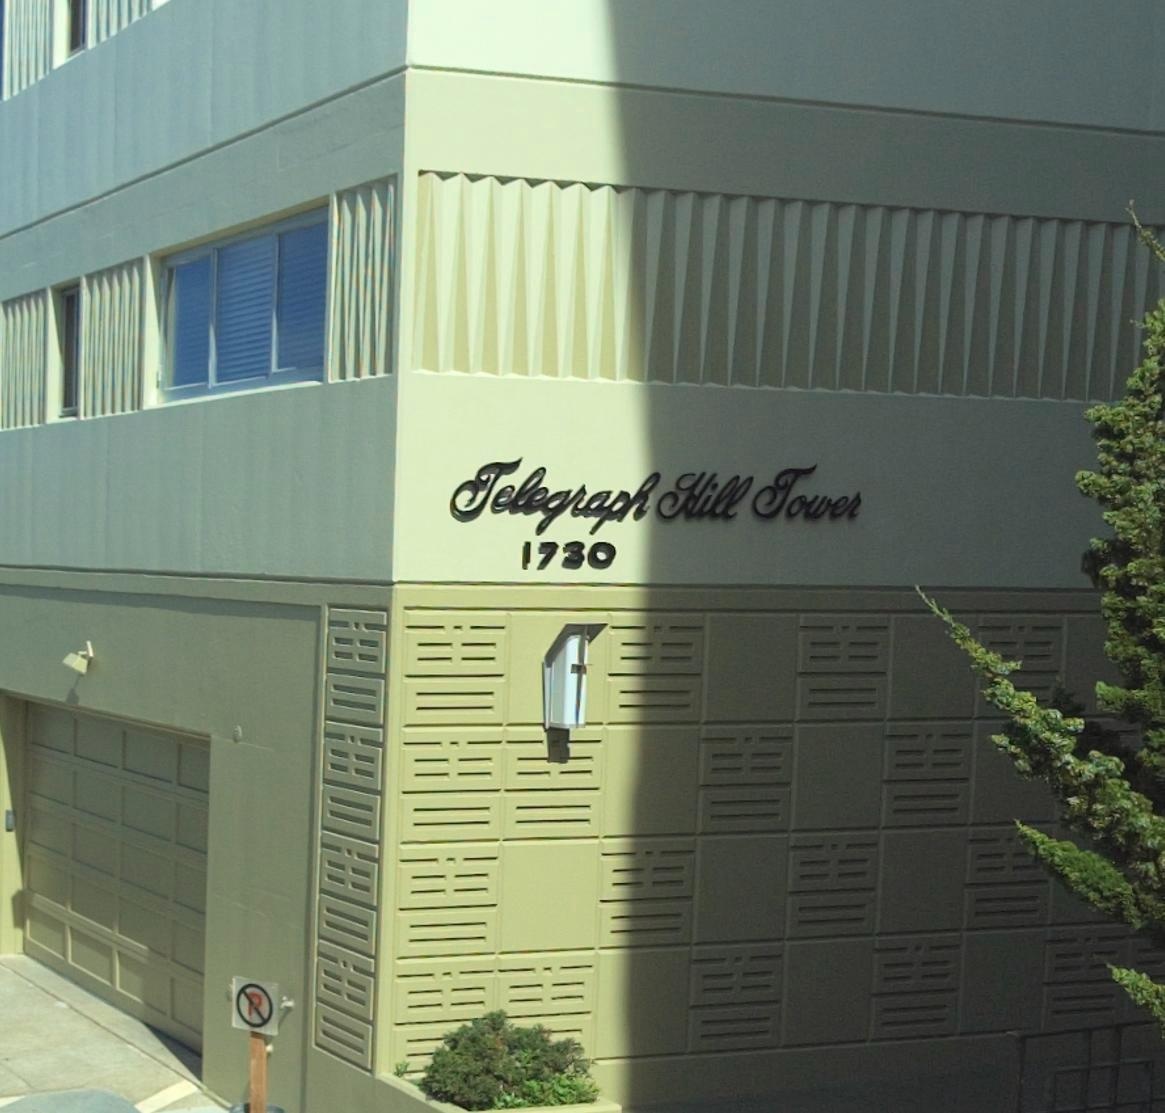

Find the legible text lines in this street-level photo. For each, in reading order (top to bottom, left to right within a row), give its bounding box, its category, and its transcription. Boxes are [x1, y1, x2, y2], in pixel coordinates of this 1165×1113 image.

[447, 455, 888, 539] BusinessName: Telegraph Hill Tower
[521, 541, 618, 571] StreetNumber: 1730